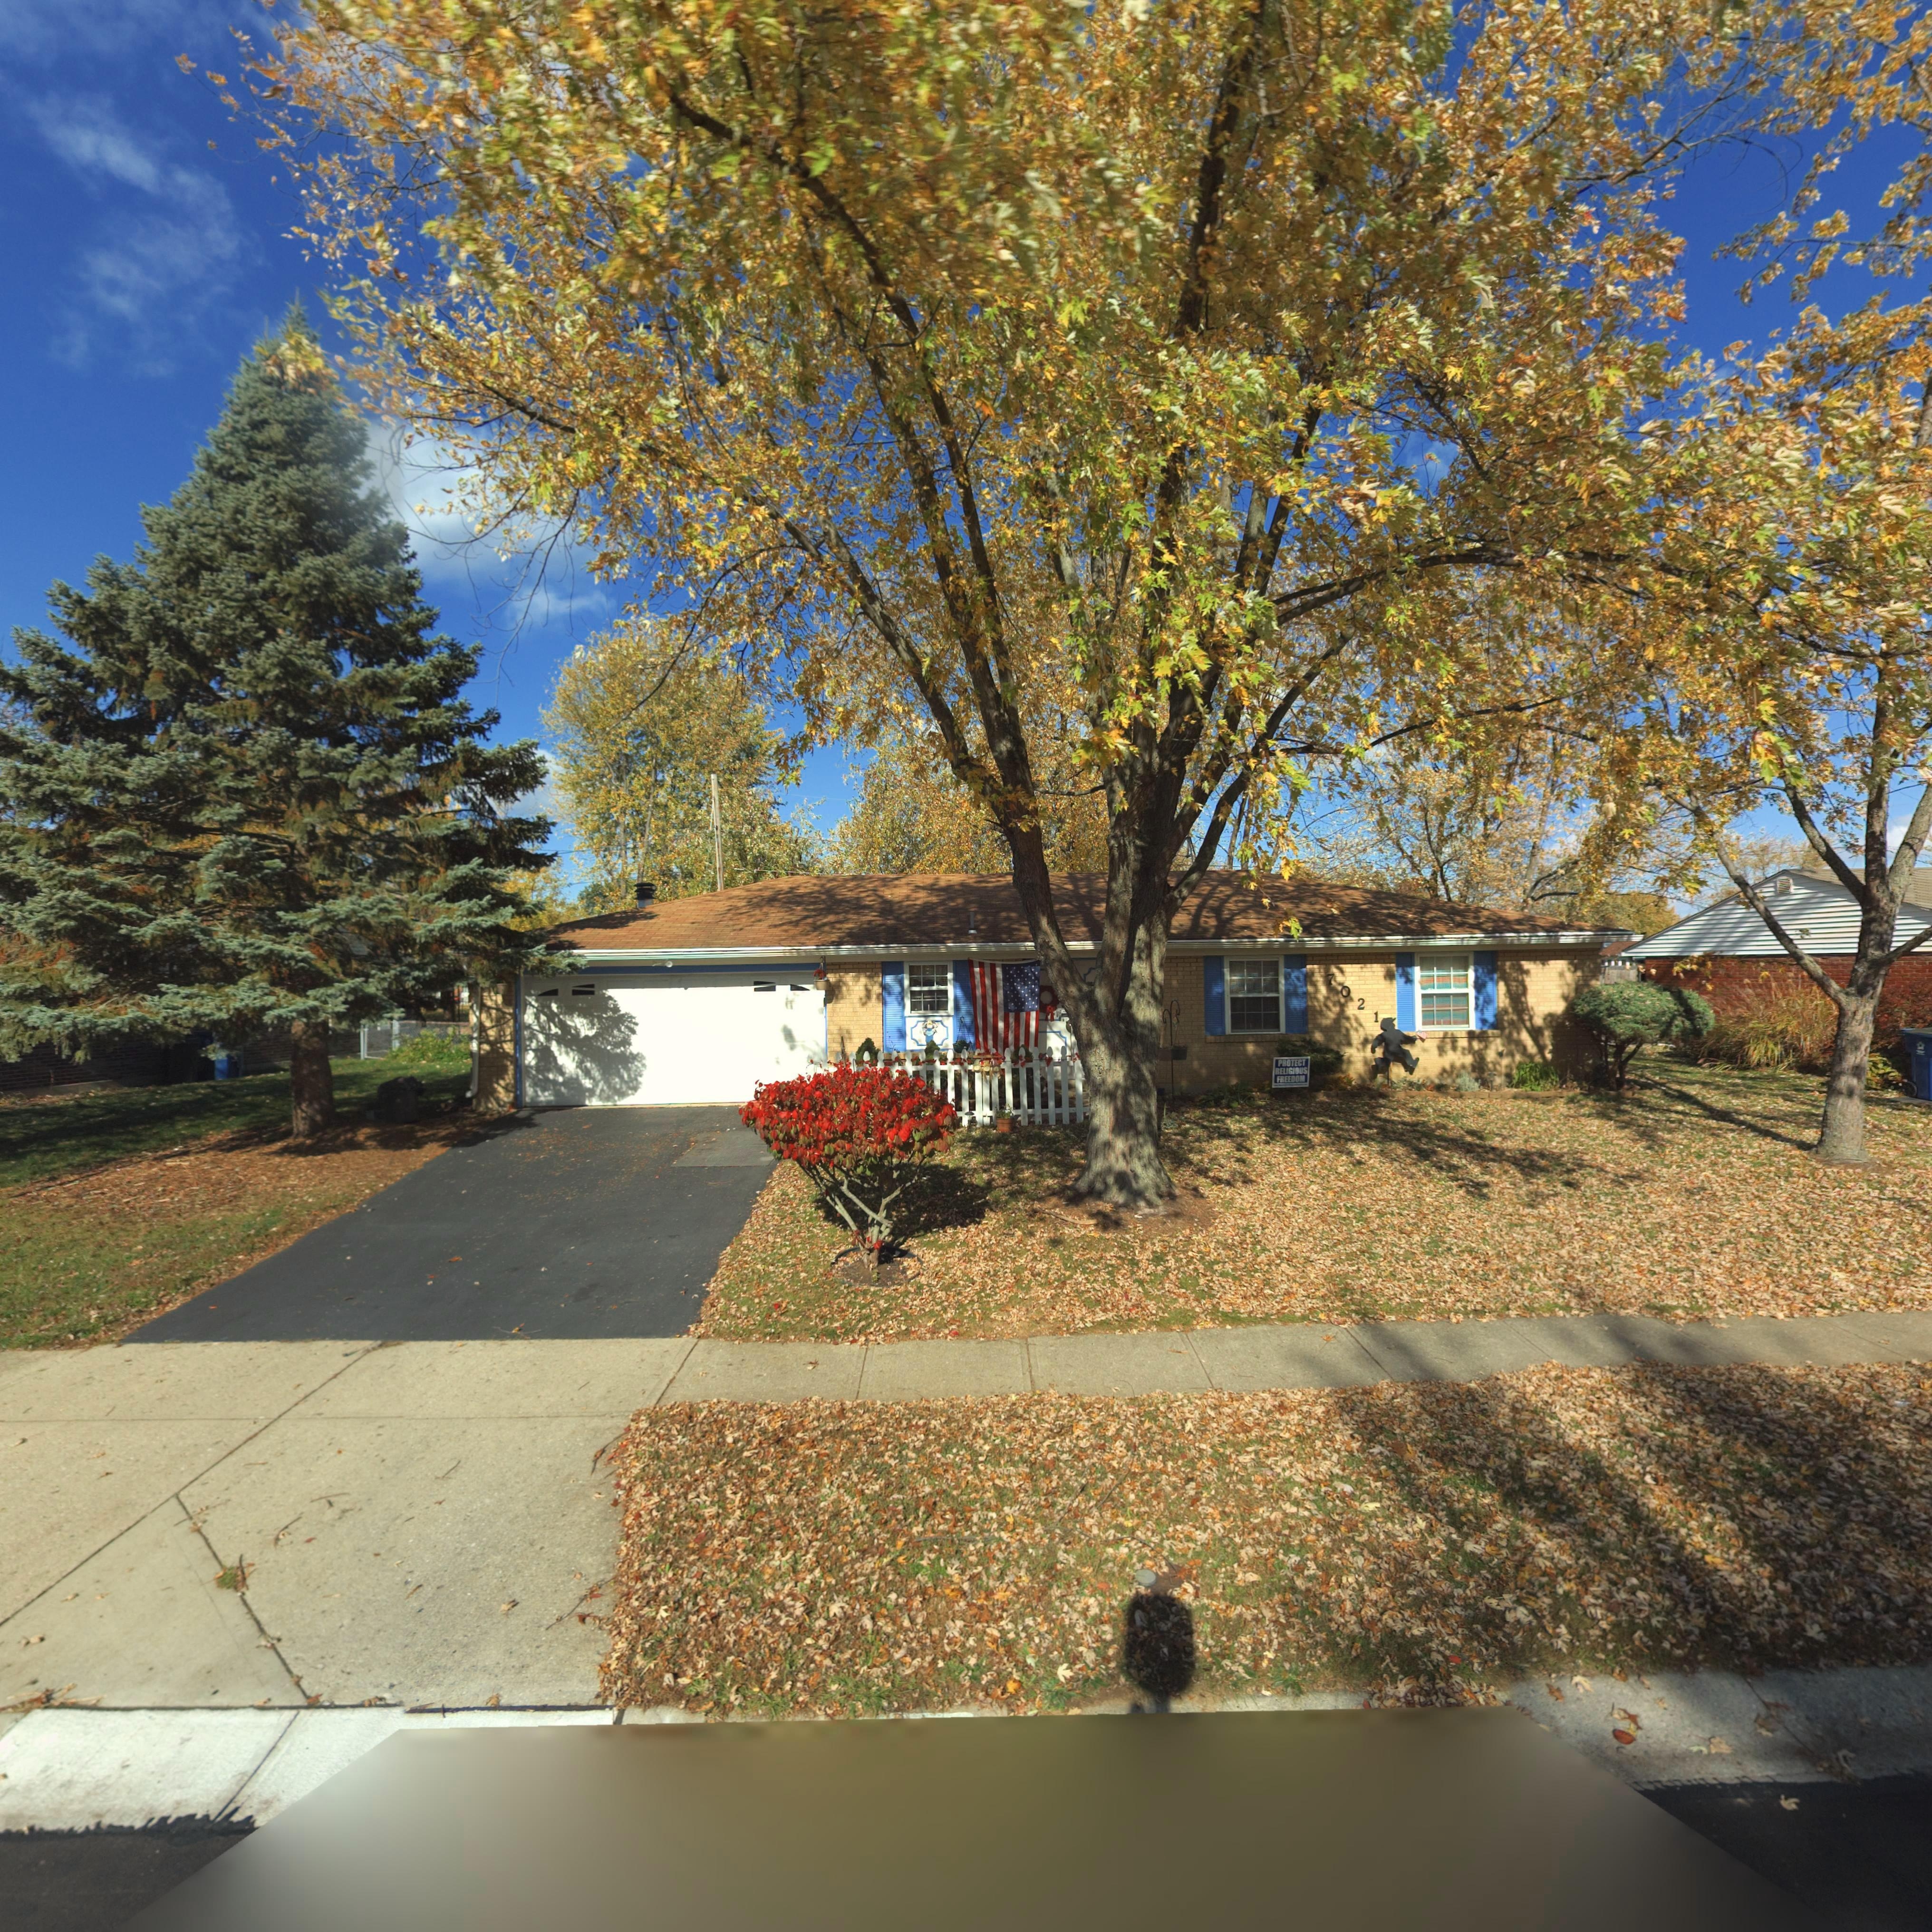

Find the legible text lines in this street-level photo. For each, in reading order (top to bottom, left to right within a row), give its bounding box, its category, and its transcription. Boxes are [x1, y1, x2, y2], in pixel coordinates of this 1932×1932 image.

[1325, 972, 1380, 1024] StreetNumber: 7021